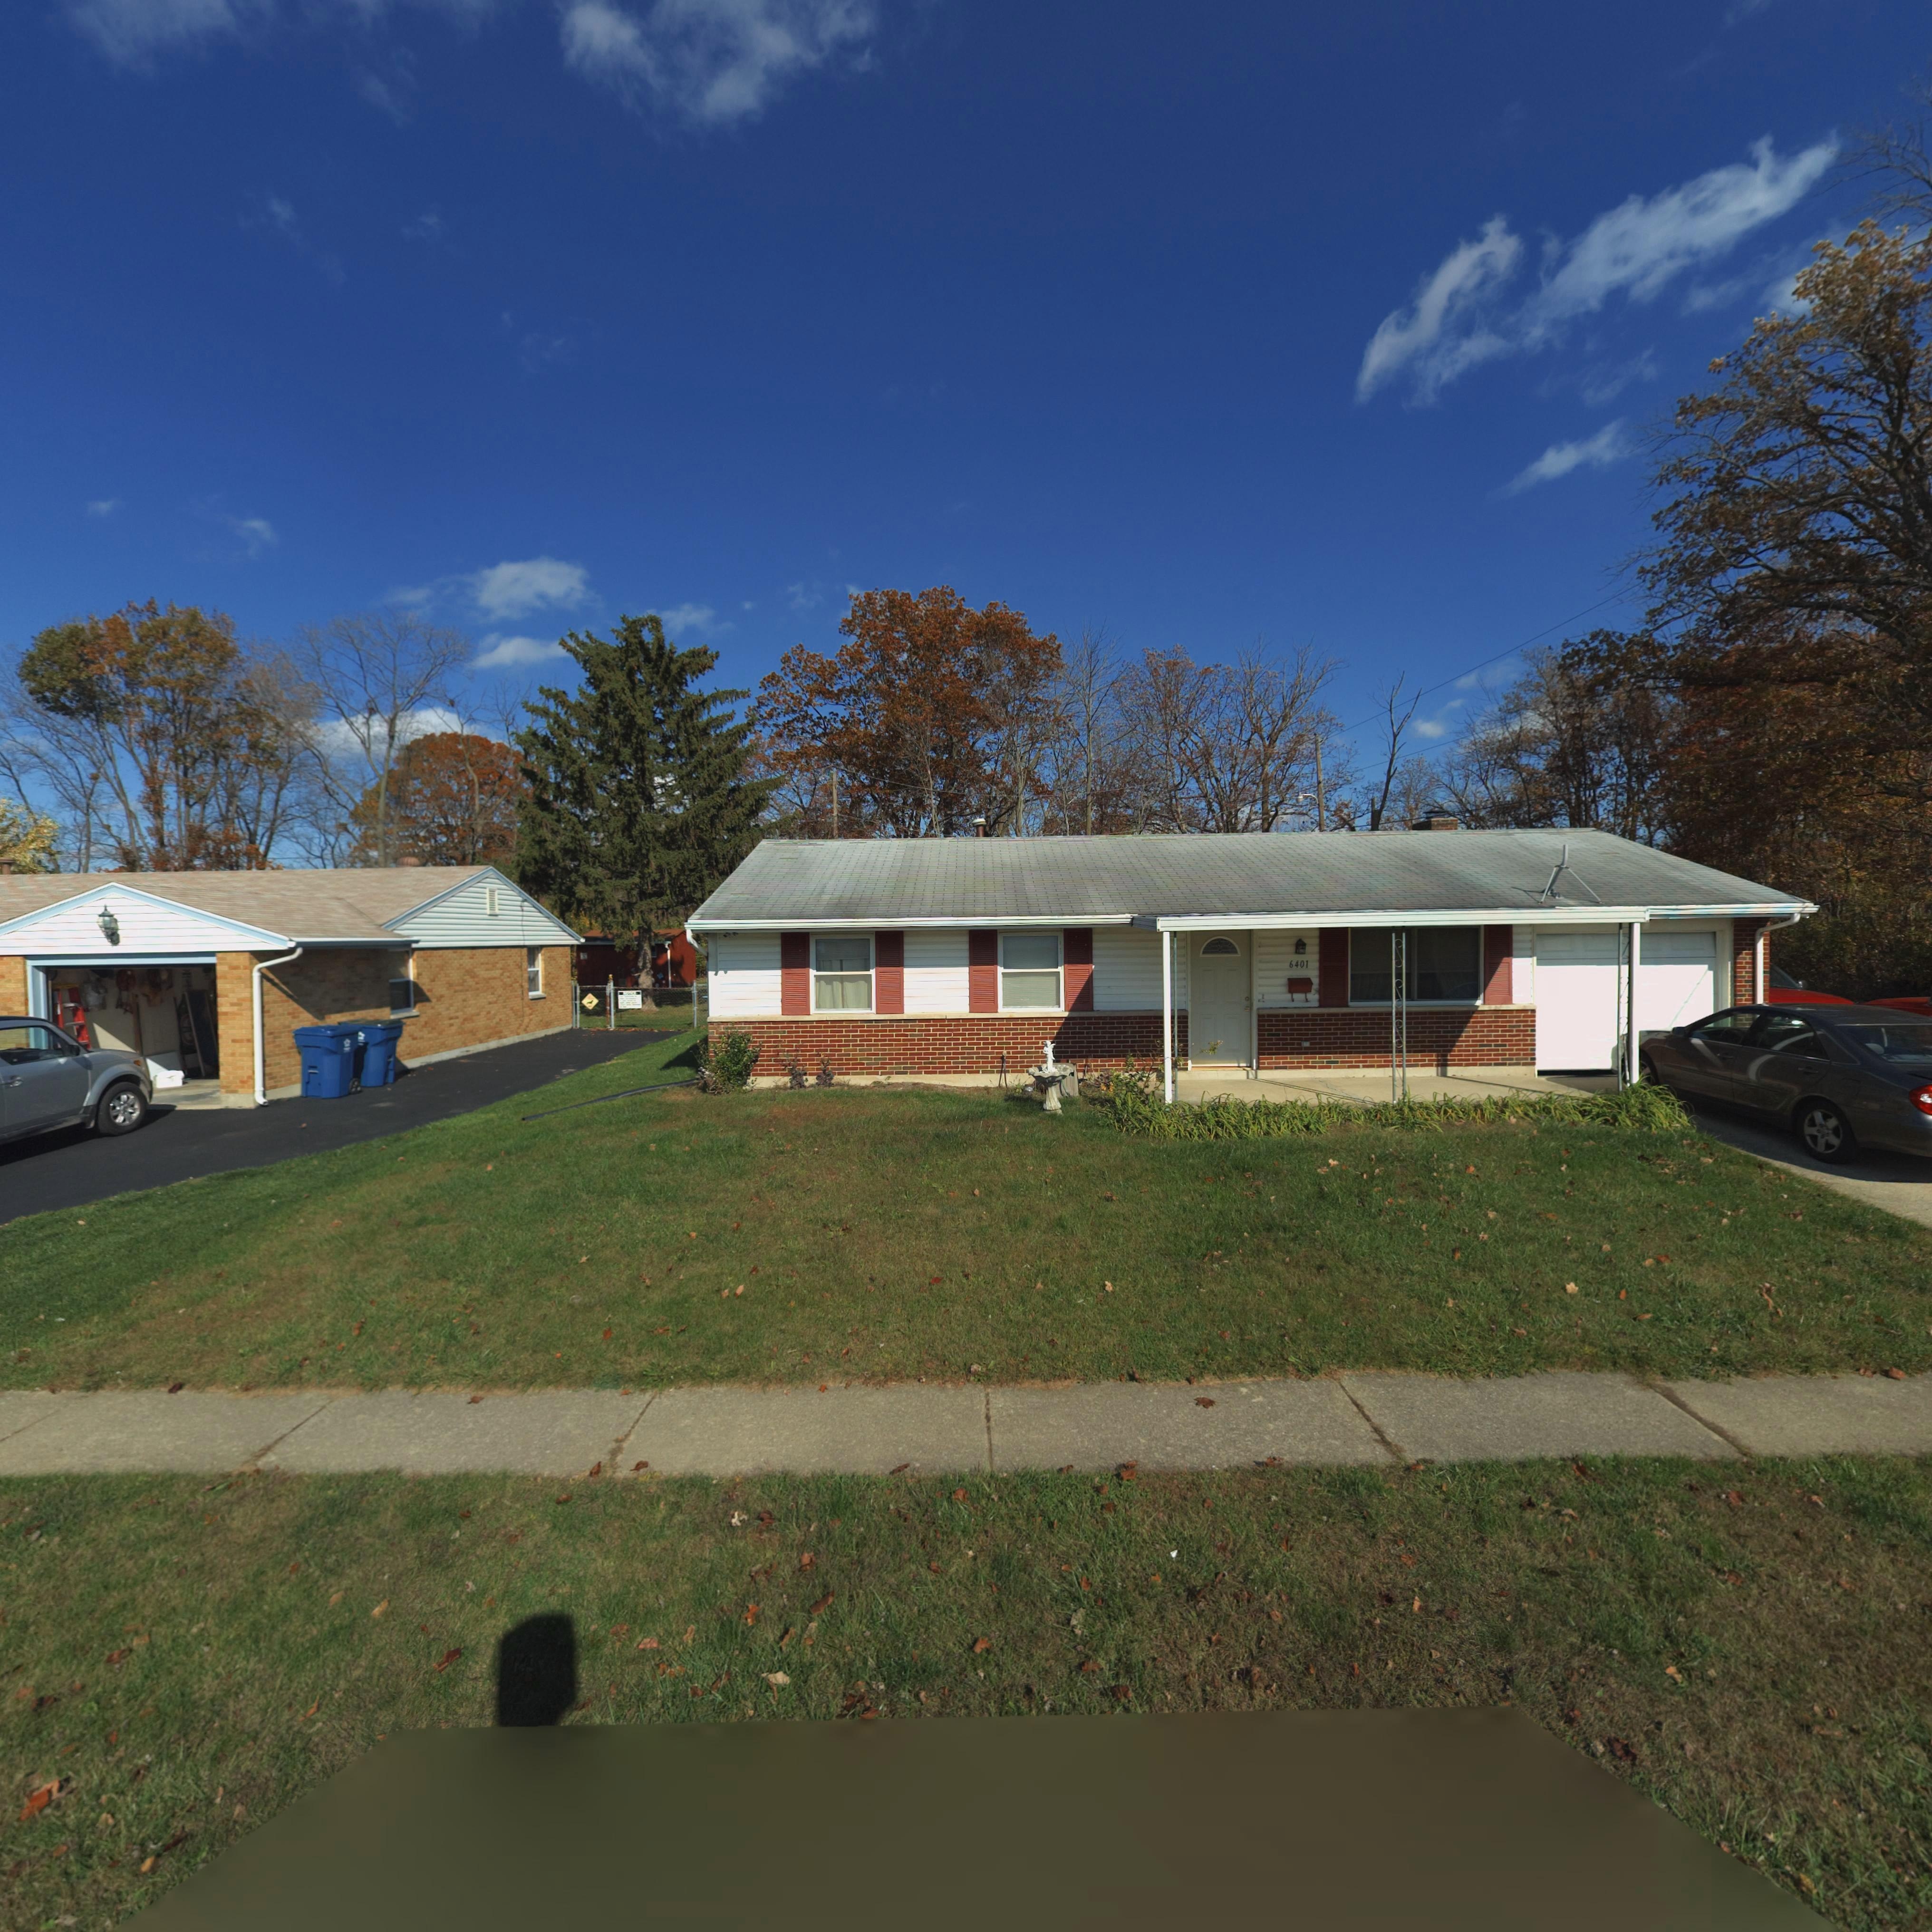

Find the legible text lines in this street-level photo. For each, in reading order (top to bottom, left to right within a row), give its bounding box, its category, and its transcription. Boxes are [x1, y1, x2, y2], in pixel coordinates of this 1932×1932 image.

[1288, 959, 1309, 969] StreetNumber: 6401